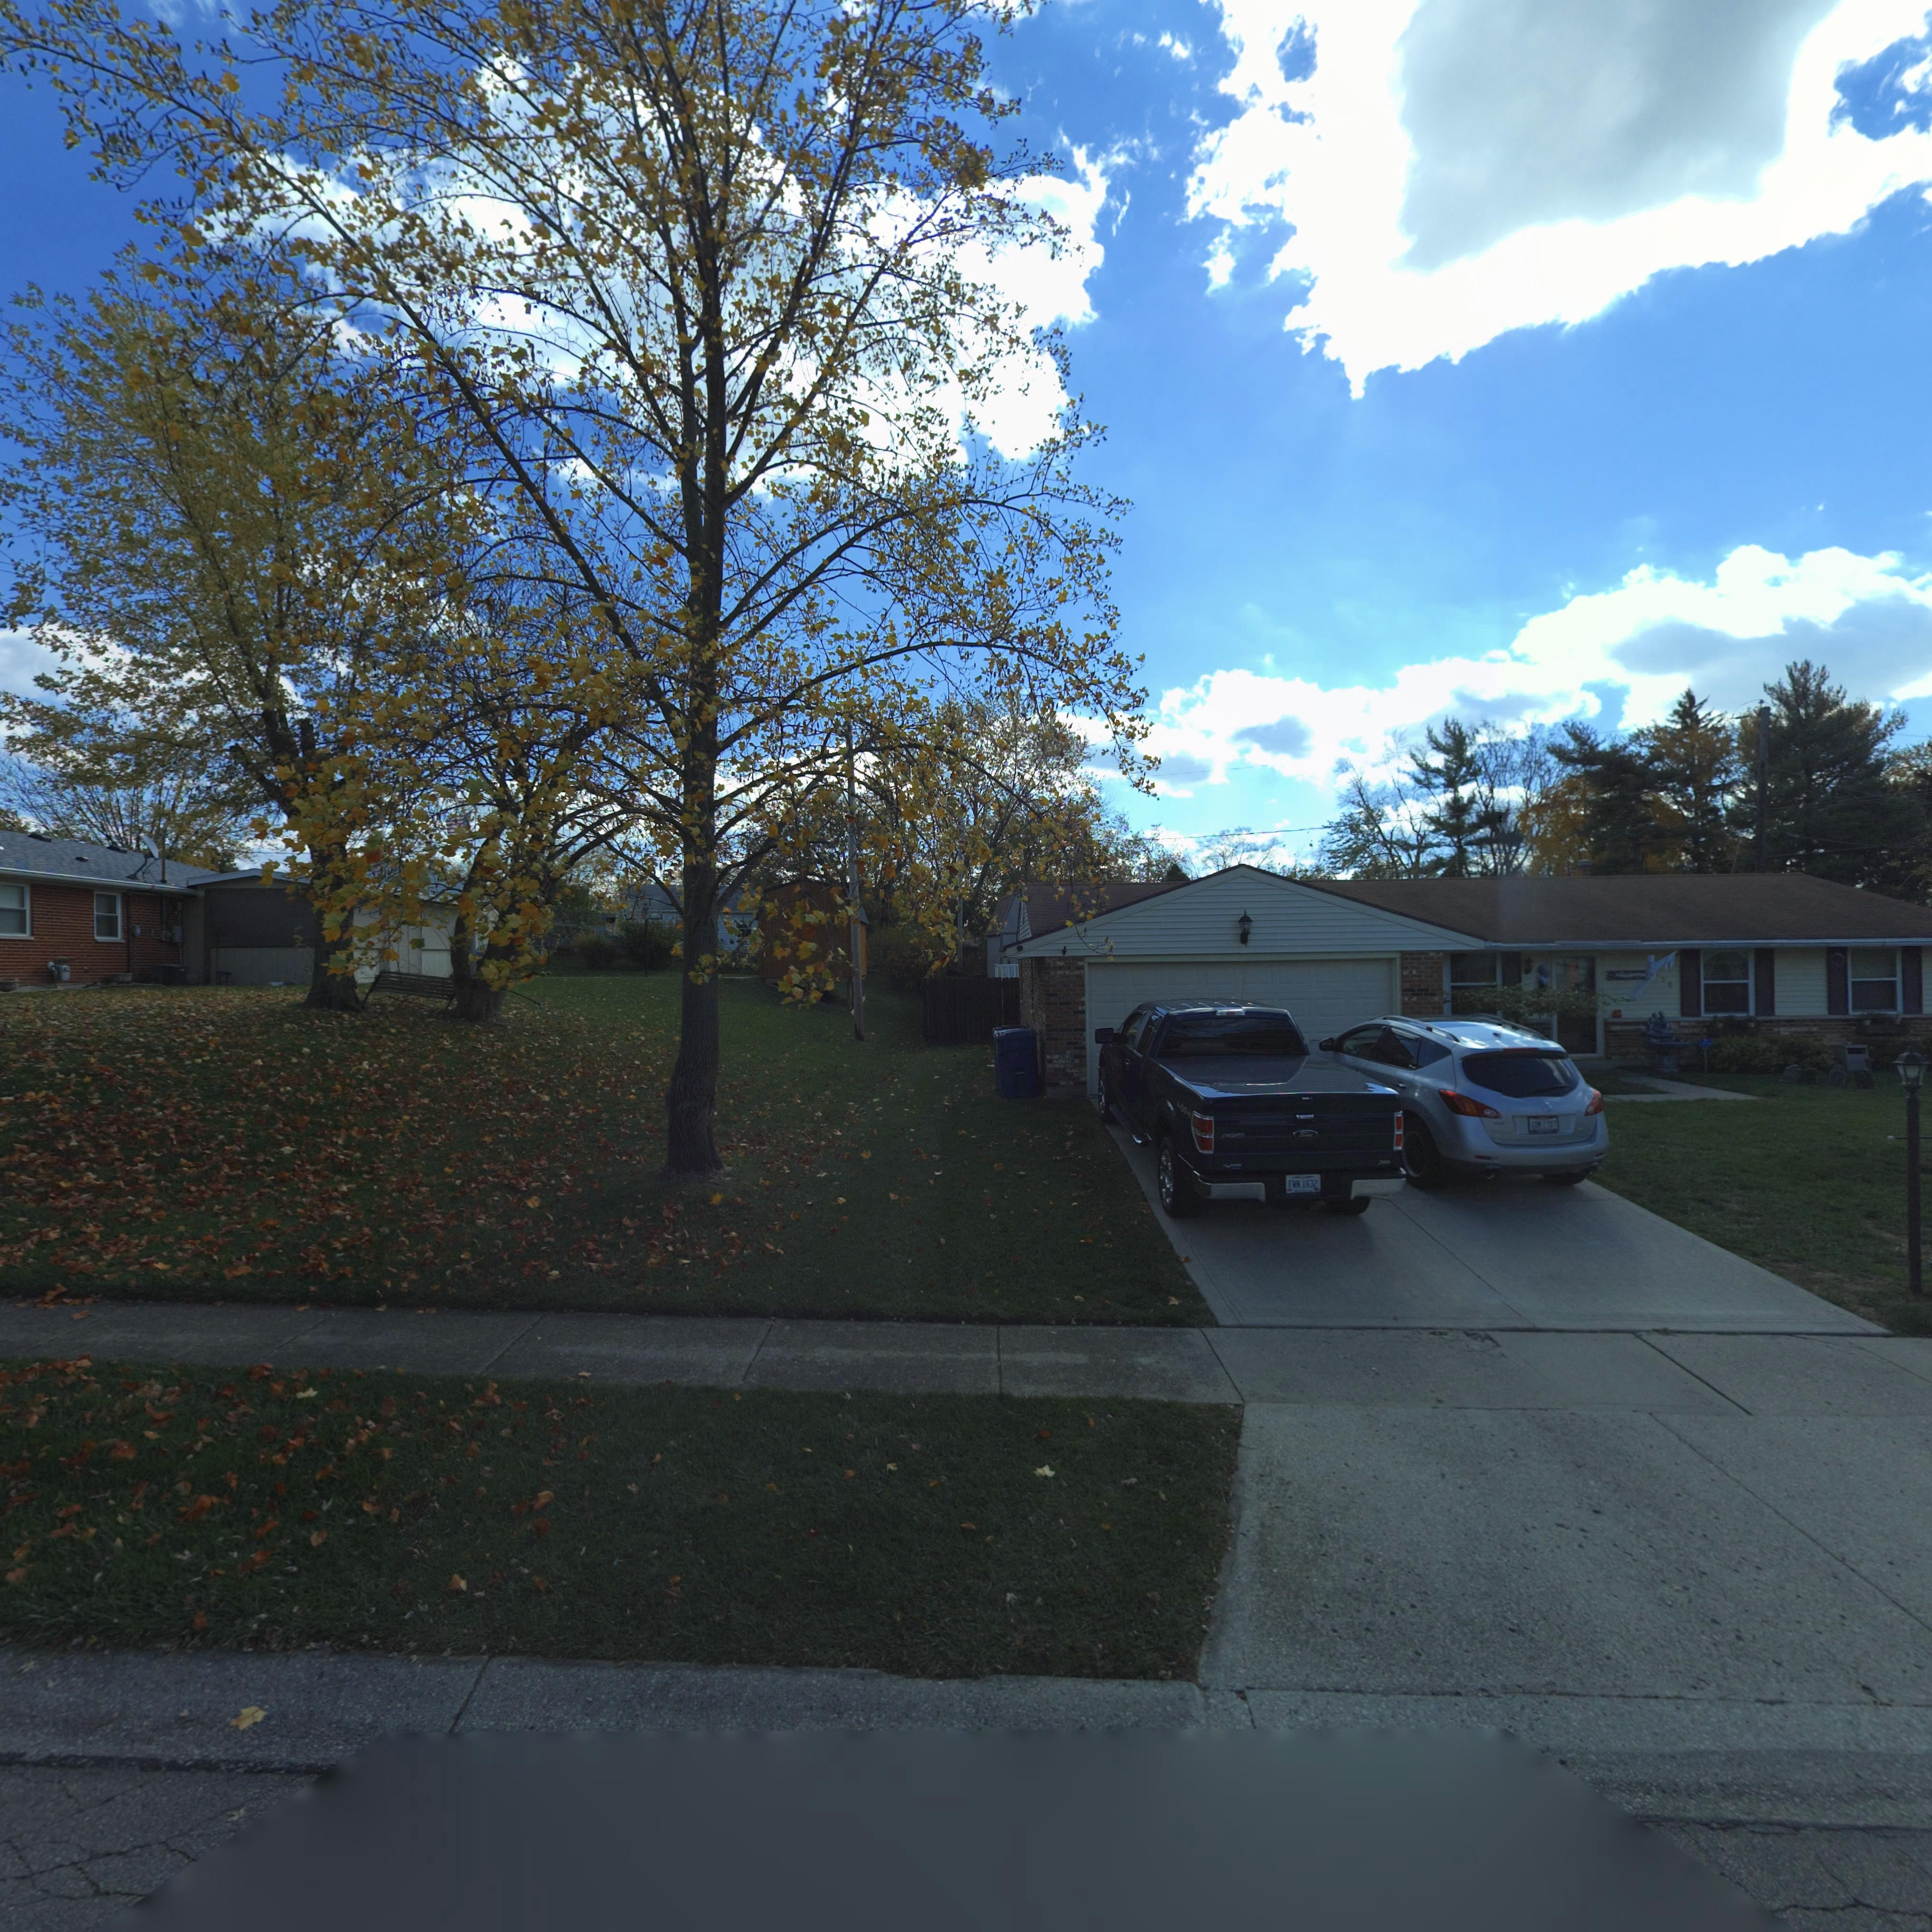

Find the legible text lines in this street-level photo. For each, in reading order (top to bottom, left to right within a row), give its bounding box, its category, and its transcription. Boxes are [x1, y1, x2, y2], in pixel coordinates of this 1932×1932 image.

[1661, 976, 1672, 989] StreetNumber: 50